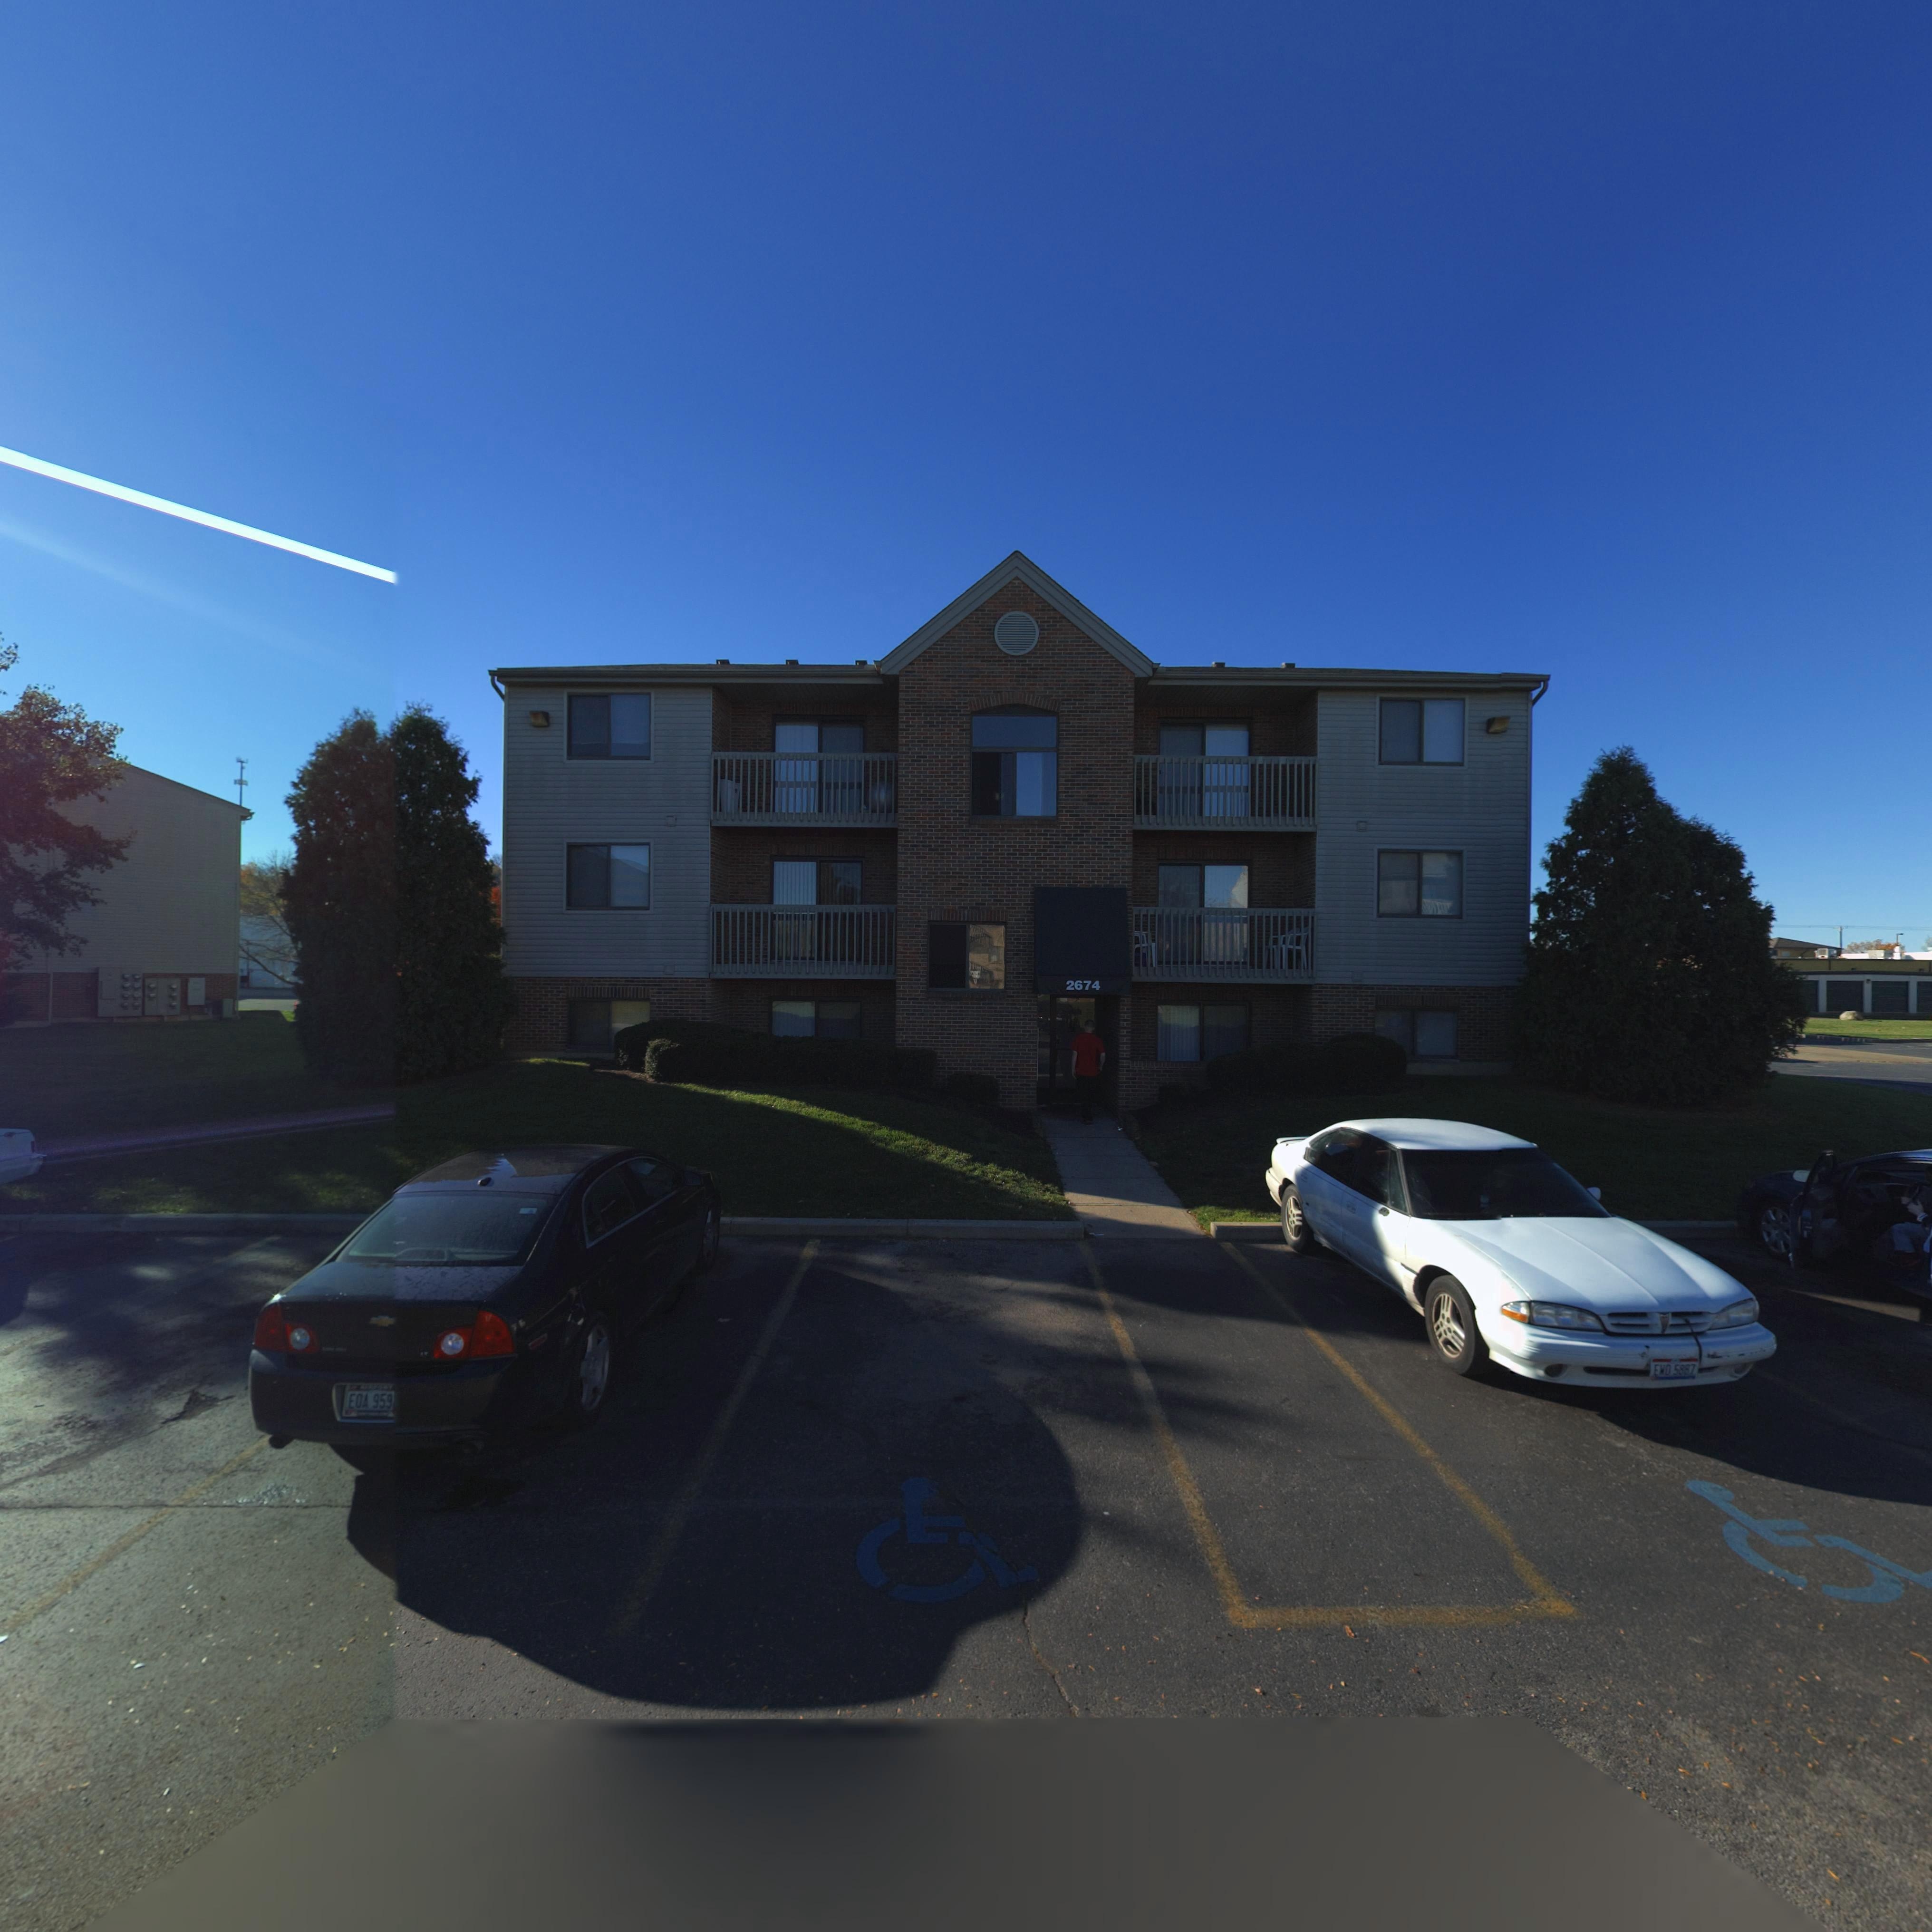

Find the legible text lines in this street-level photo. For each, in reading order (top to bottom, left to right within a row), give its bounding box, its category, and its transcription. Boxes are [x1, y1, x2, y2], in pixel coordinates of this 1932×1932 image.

[1065, 980, 1101, 990] StreetNumber: 2674